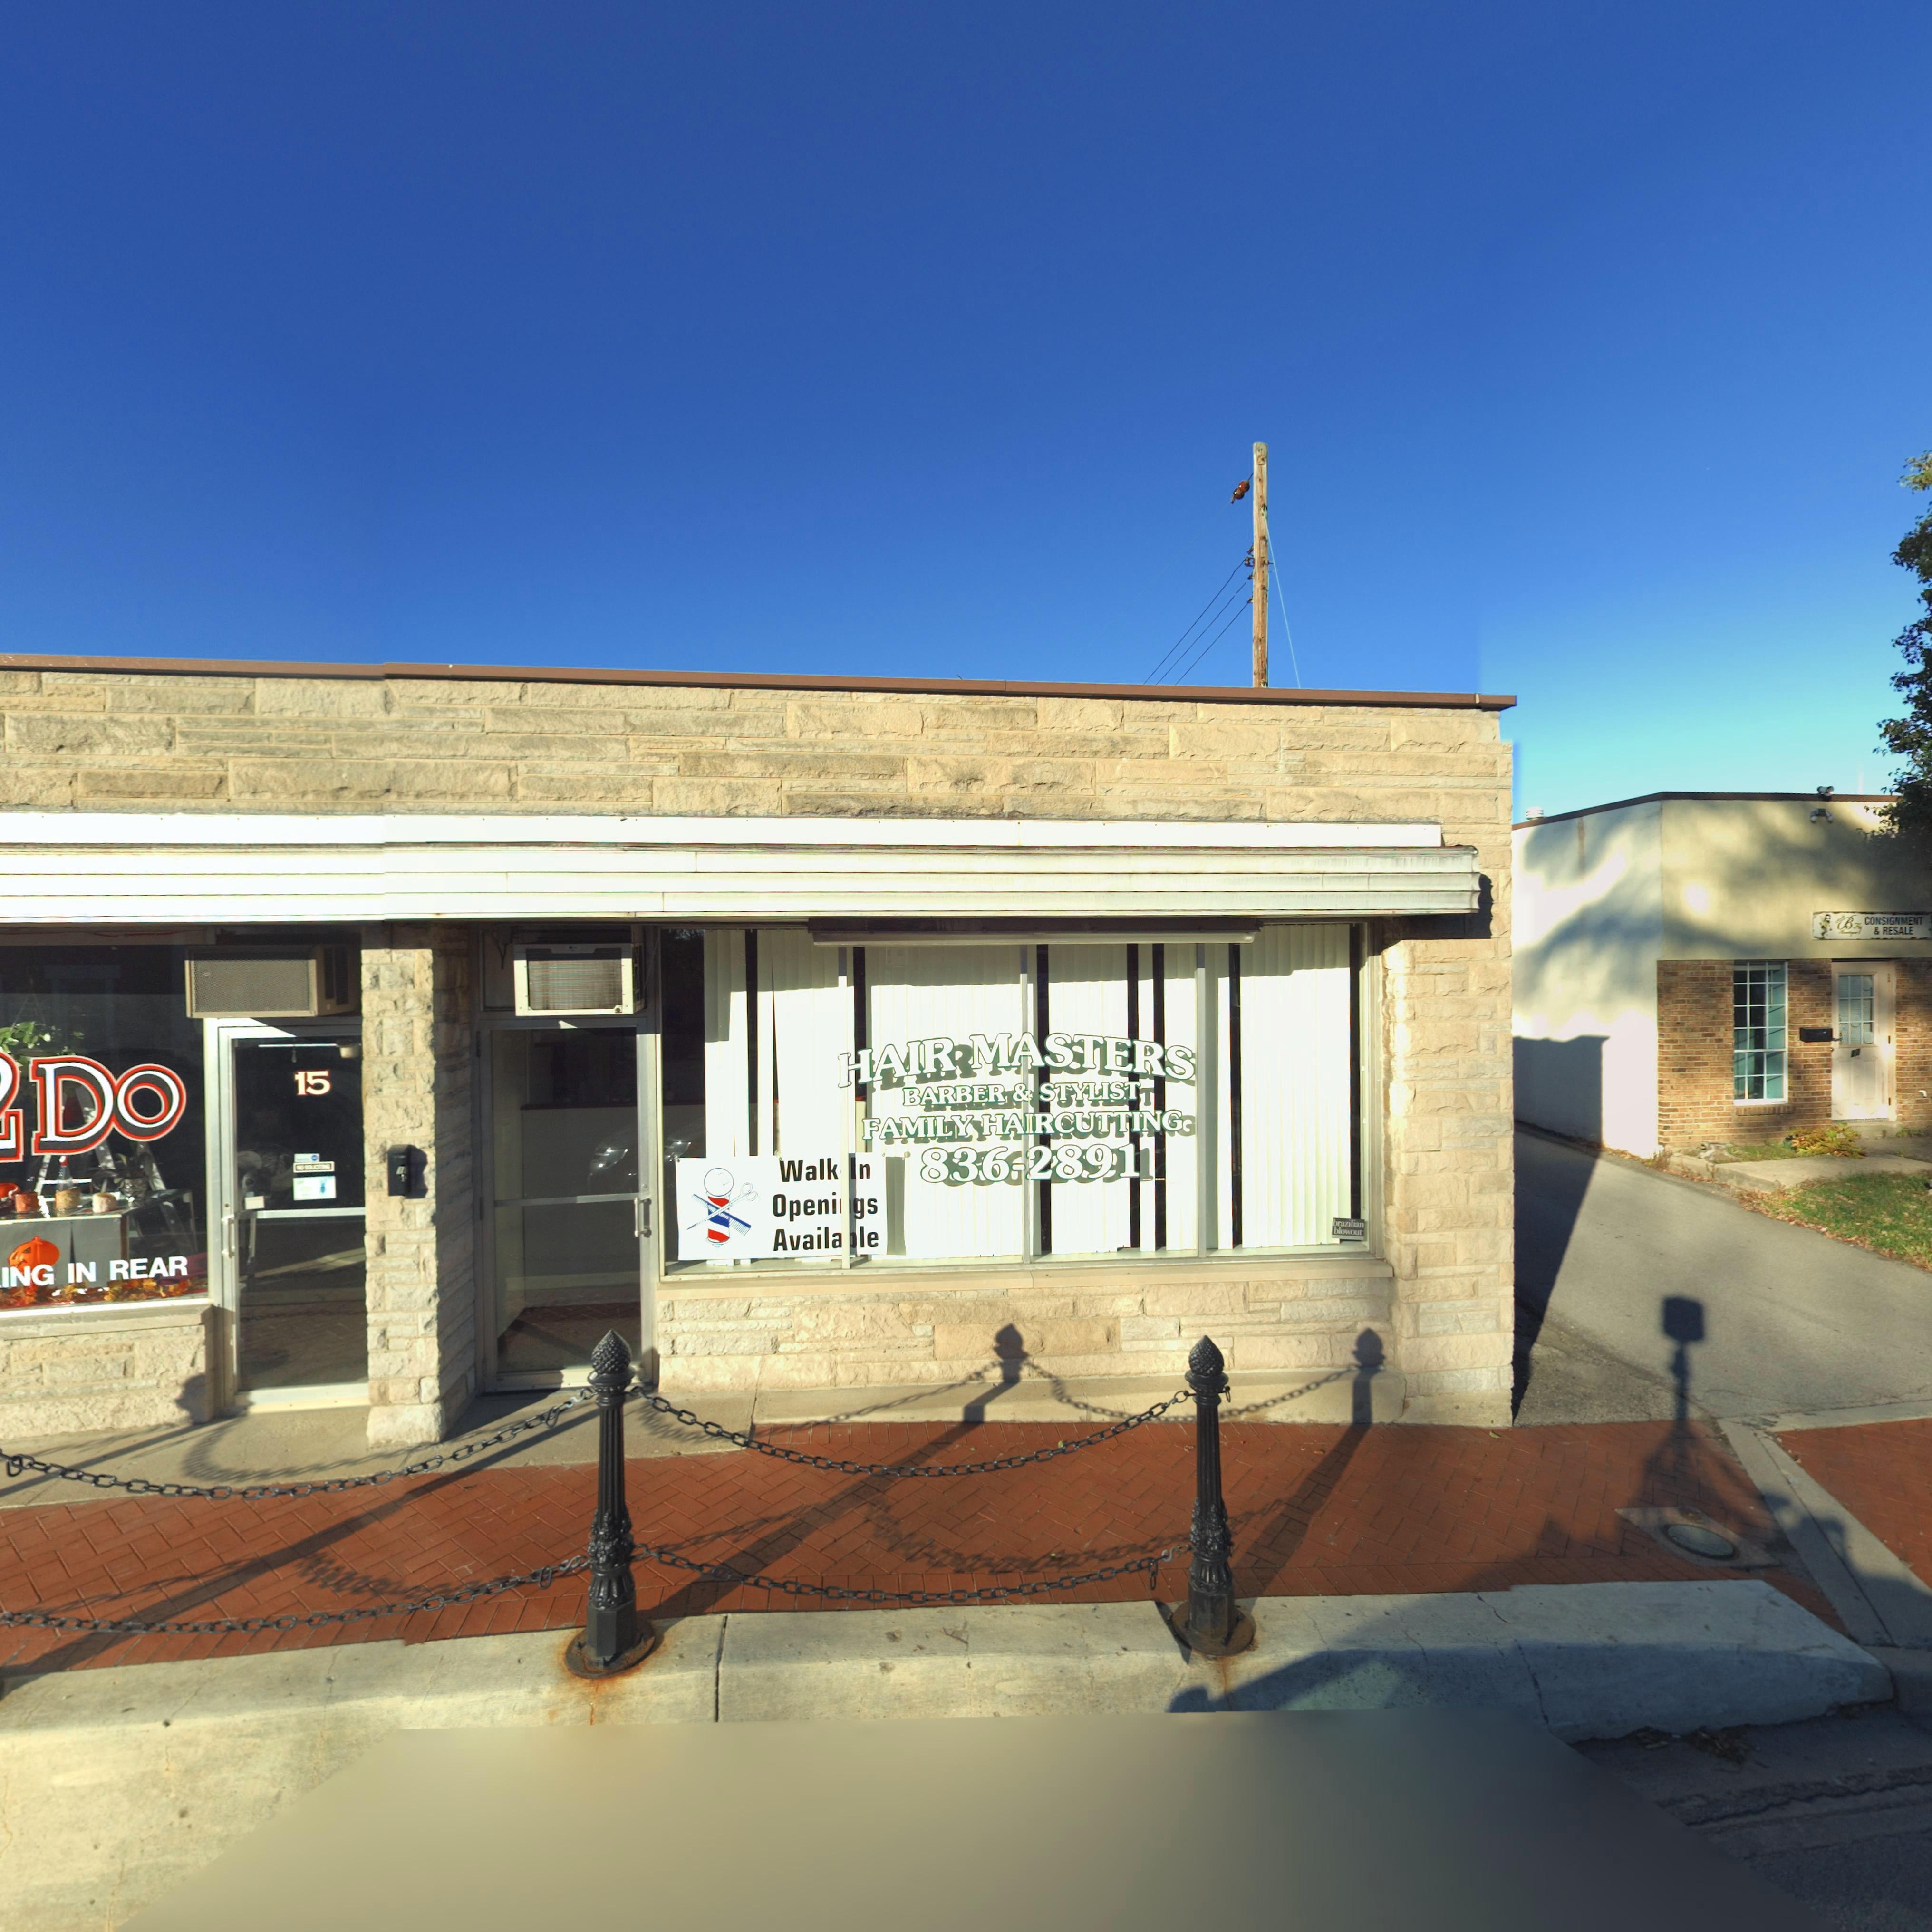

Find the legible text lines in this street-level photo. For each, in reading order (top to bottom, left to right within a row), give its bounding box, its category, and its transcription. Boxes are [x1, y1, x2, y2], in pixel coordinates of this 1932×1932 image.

[834, 1029, 1202, 1092] None: HAIR MASTERS
[1850, 1048, 1861, 1058] StreetNumber: 23
[25, 1040, 194, 1169] None: Do
[293, 1069, 331, 1097] StreetNumber: 15
[899, 1081, 1146, 1110] None: BARBER & STYLIST
[861, 1109, 1188, 1143] None: FAMILY HAIRCUTTING
[774, 1157, 840, 1183] None: Walk In
[914, 1142, 1143, 1188] None: 836-2891
[772, 1196, 879, 1222] None: Openi*gs
[773, 1224, 881, 1256] None: Availa*le
[3, 1250, 189, 1294] None: ING IN REAR